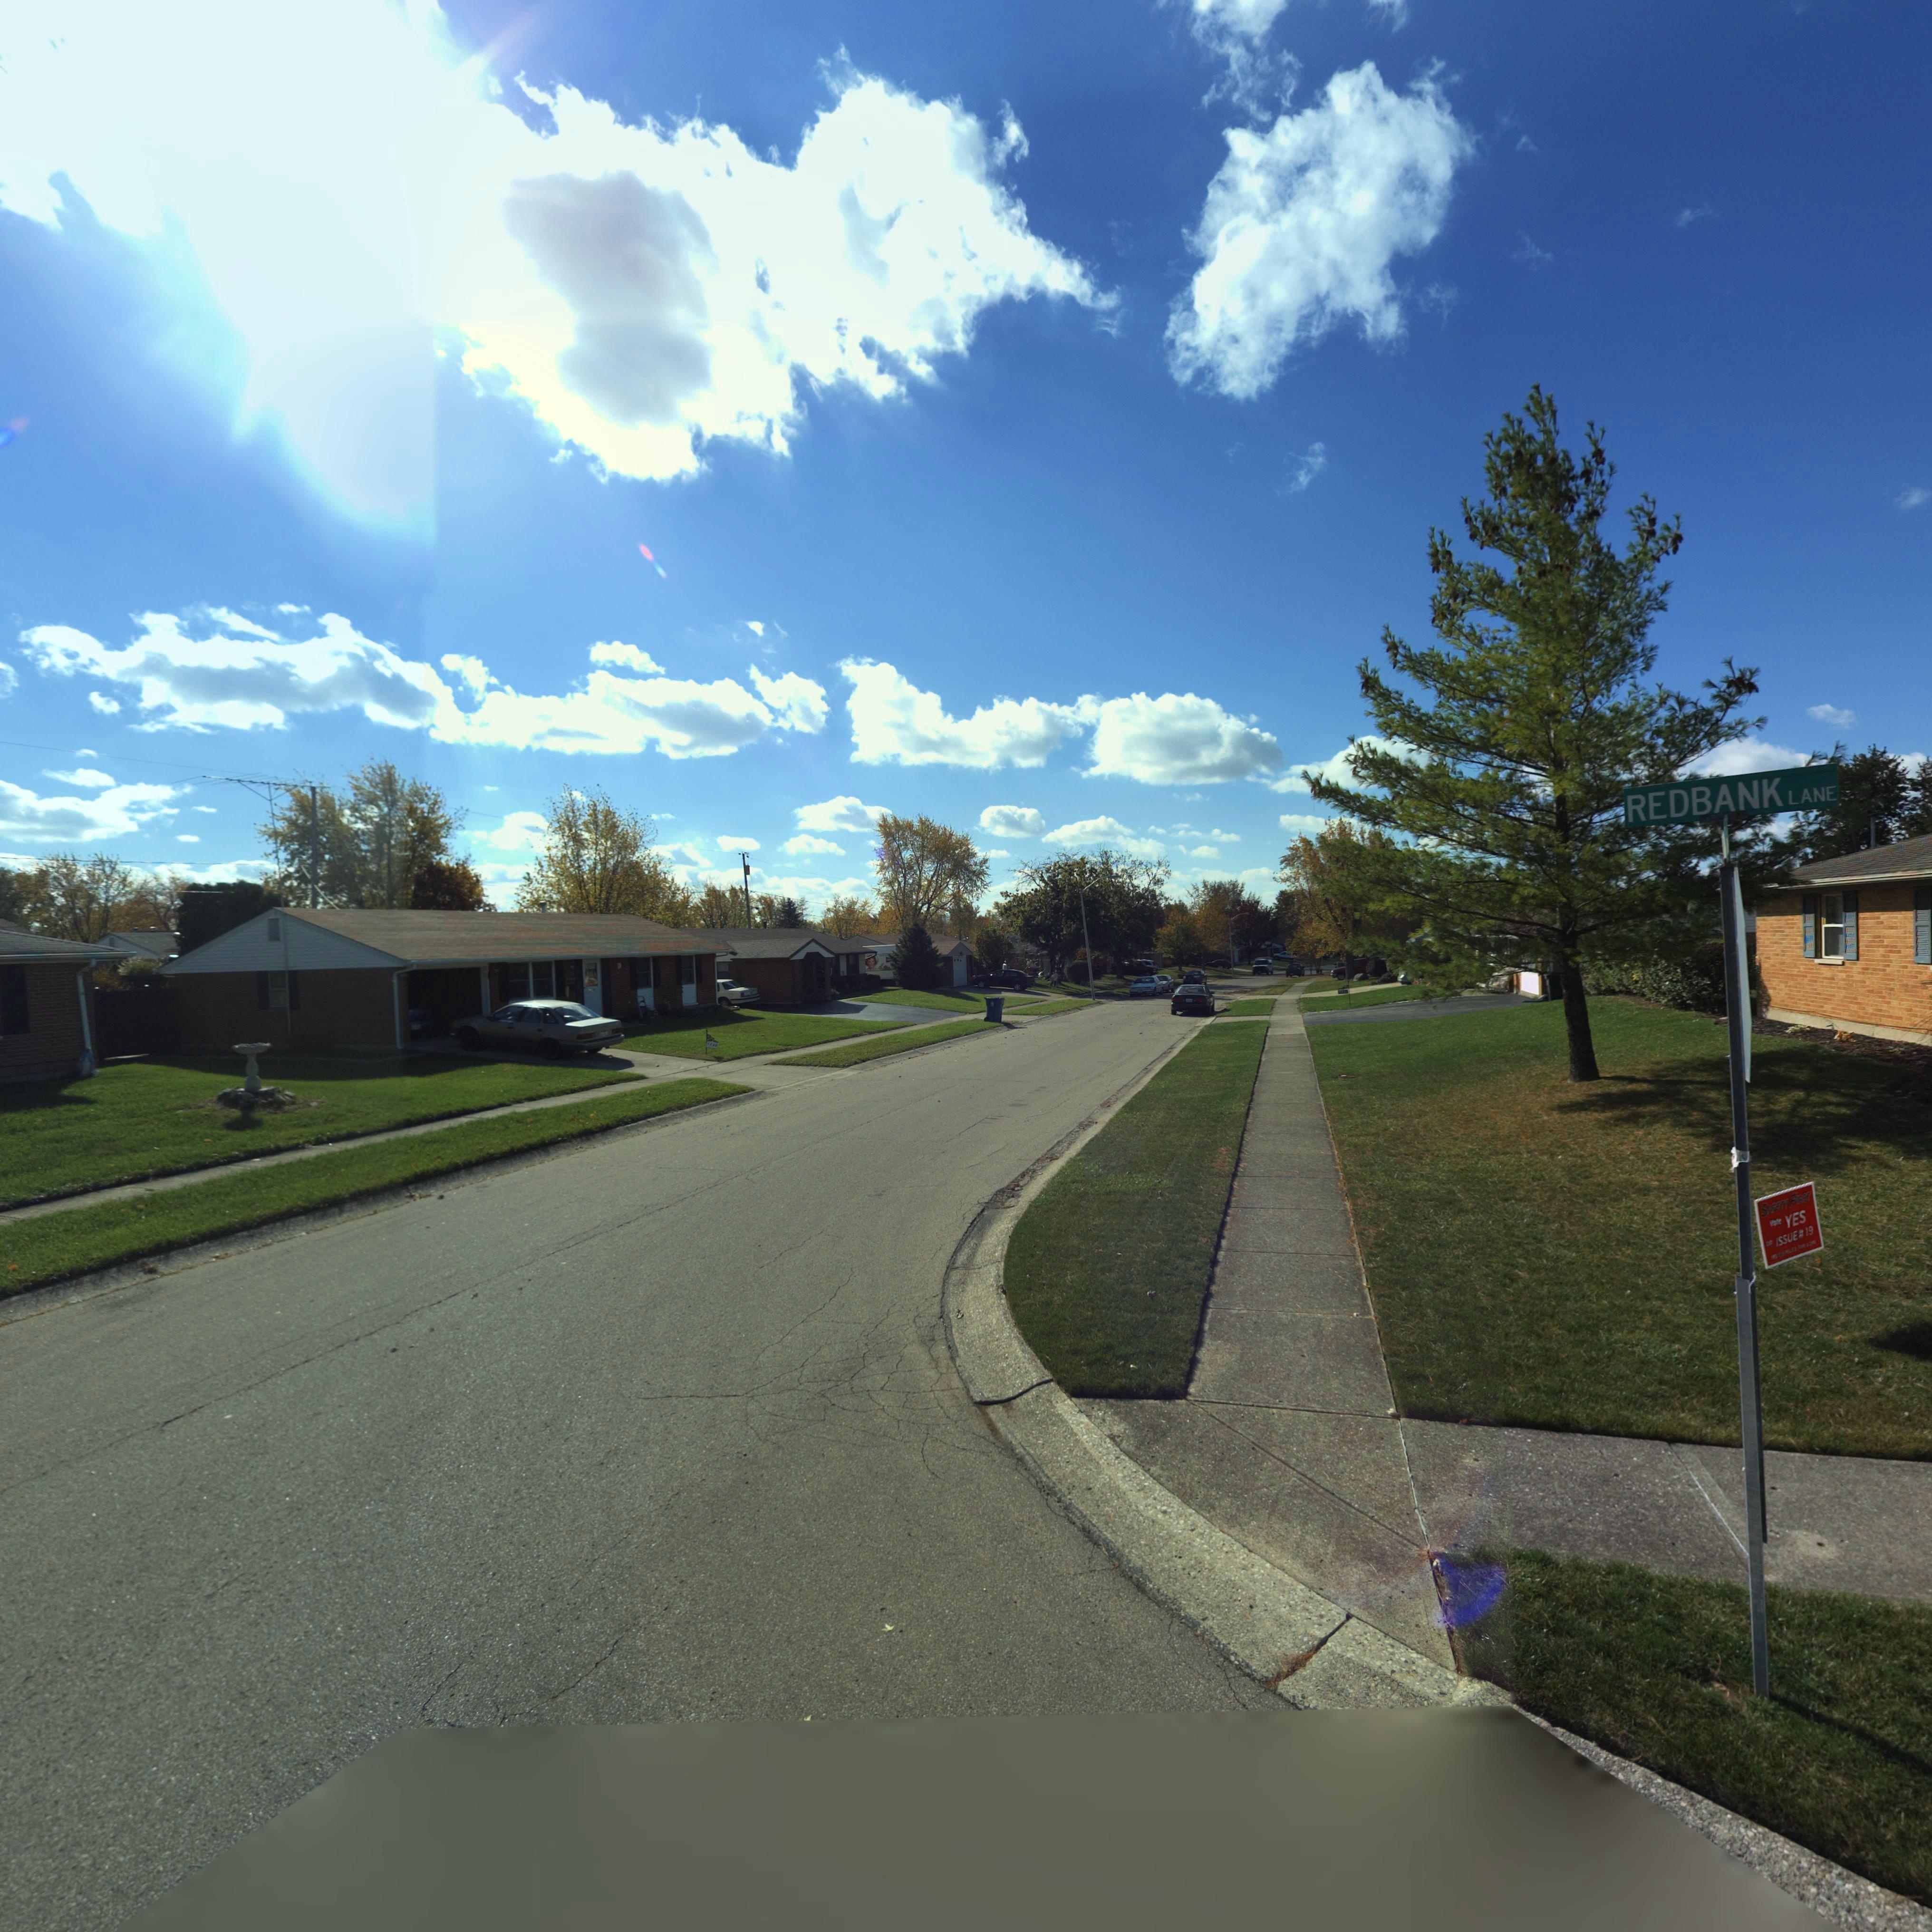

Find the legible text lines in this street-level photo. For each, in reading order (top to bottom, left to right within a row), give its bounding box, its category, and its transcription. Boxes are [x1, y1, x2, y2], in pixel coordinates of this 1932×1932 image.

[706, 1043, 713, 1046] StreetNumber: 77